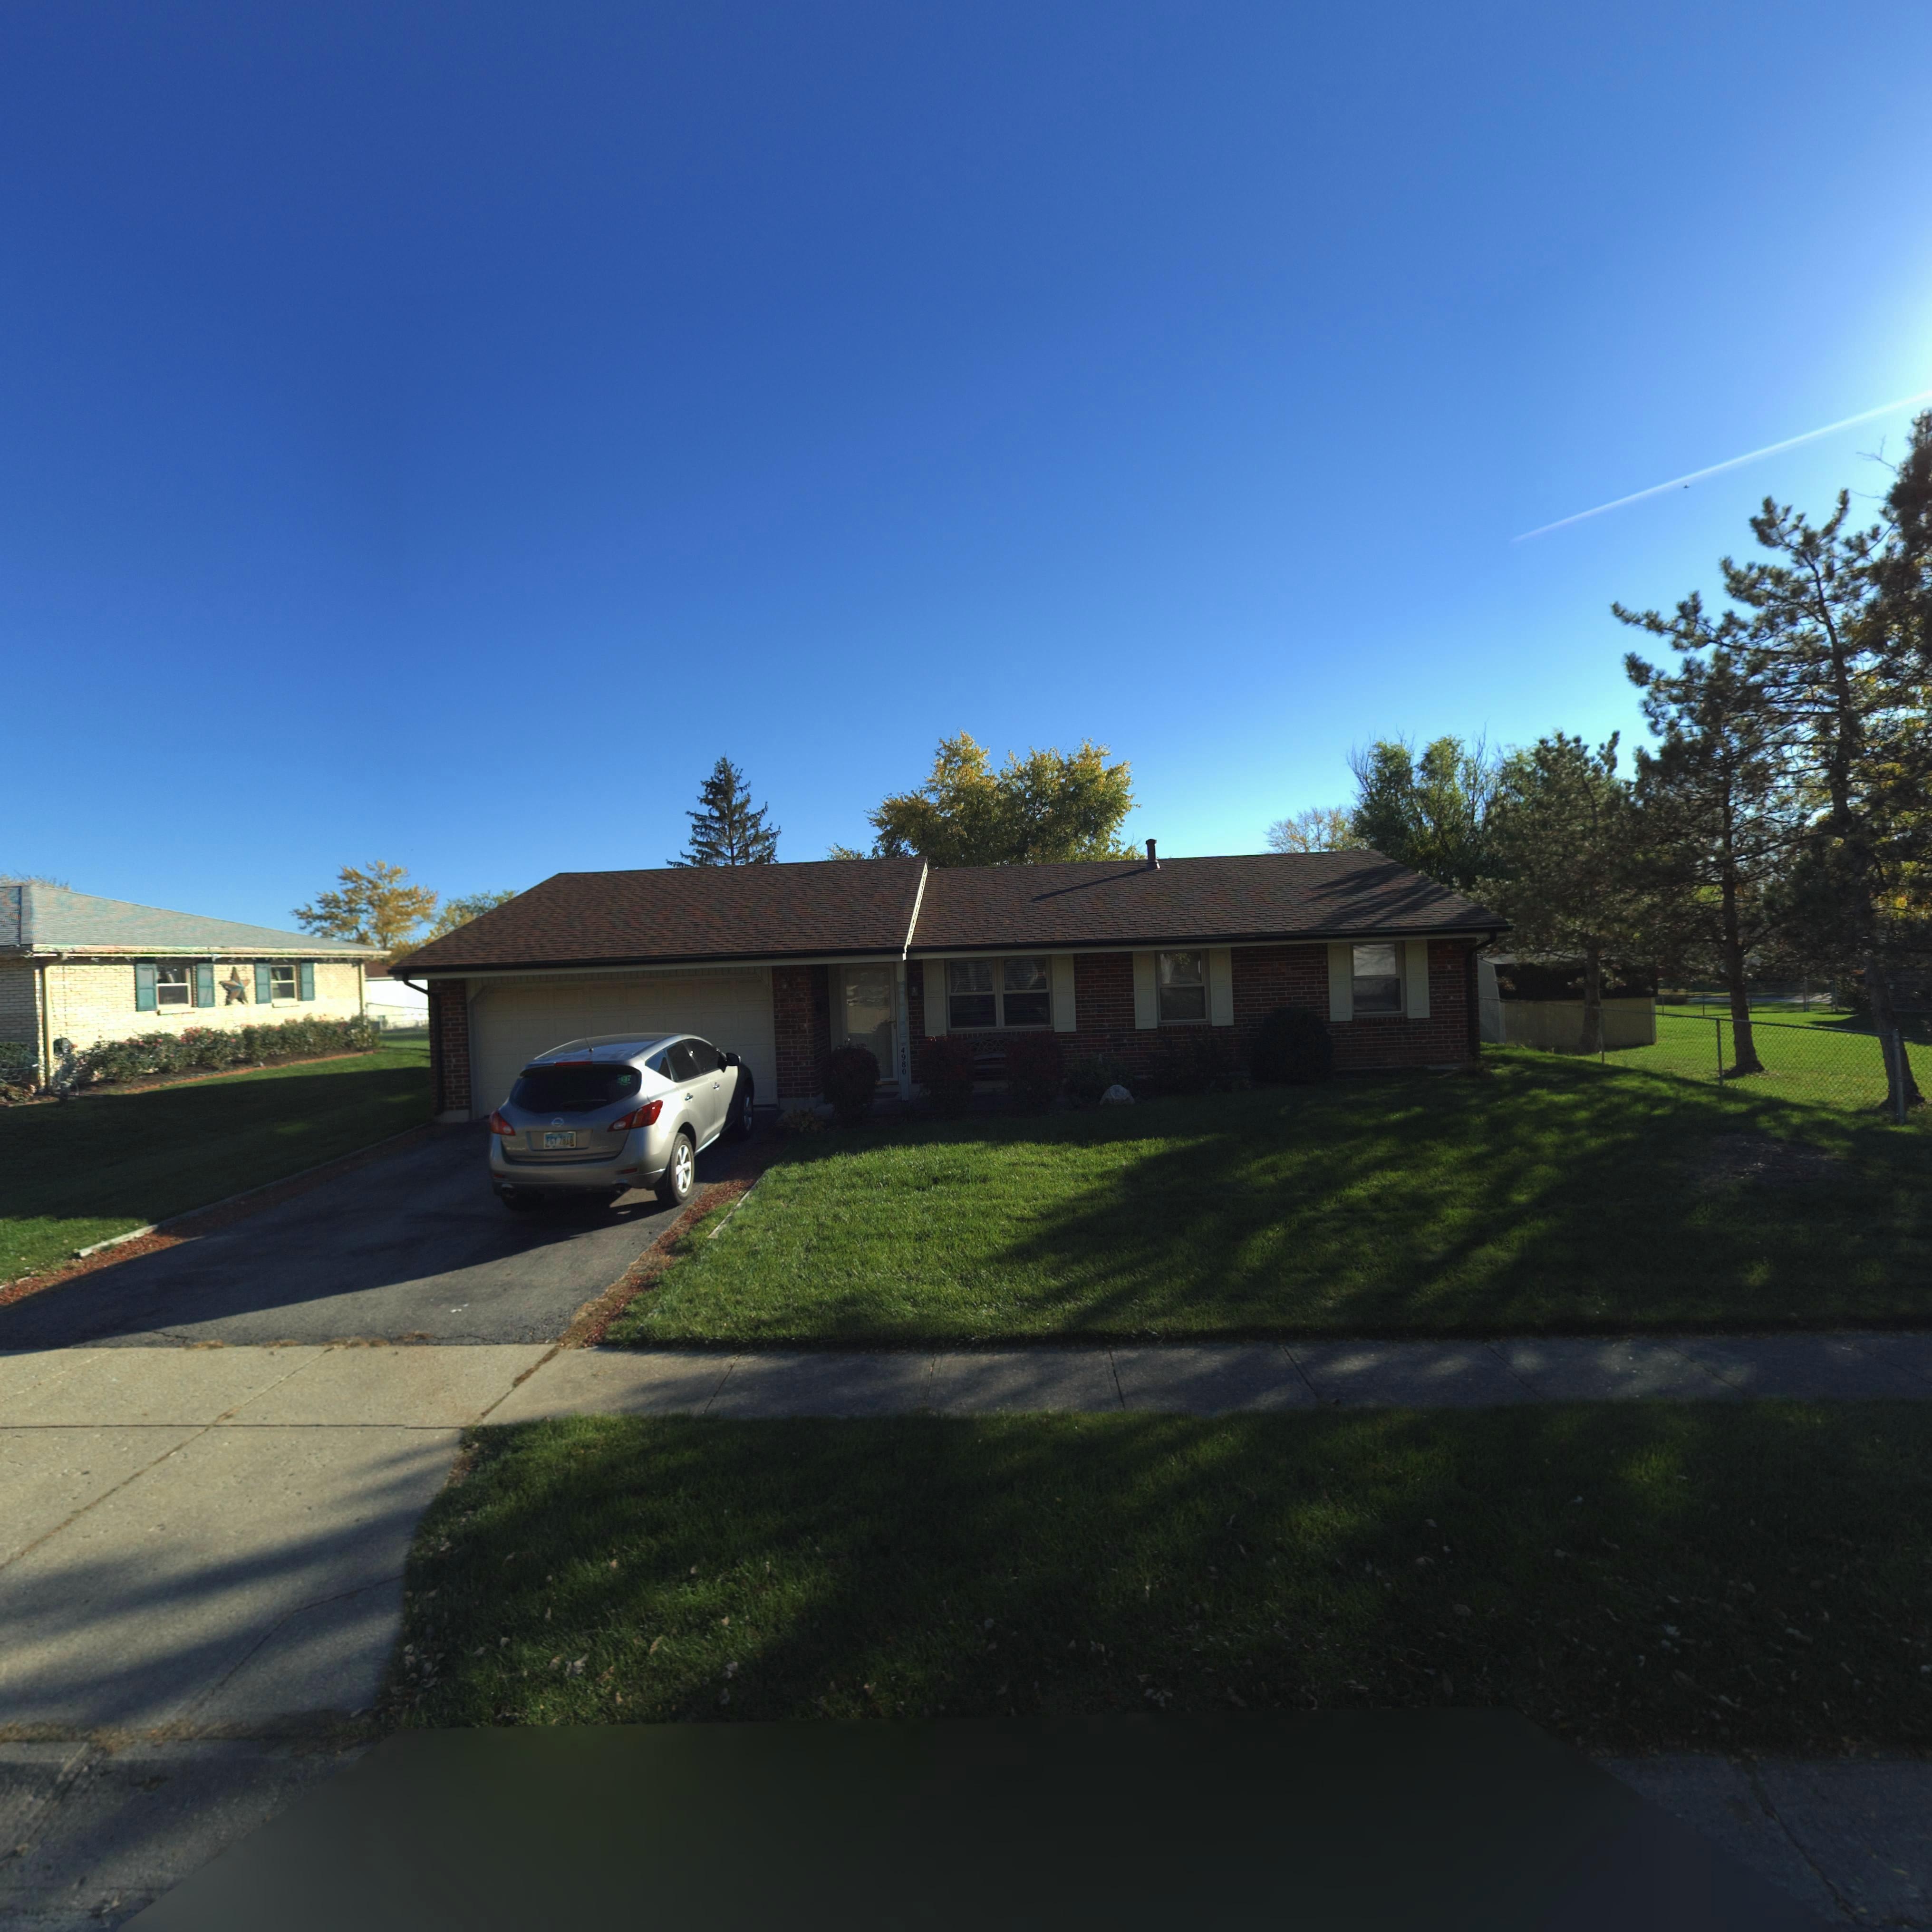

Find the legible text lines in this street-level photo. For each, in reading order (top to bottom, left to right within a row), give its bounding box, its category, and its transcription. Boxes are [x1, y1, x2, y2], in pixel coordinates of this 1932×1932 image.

[900, 1046, 908, 1076] StreetNumber: 4980